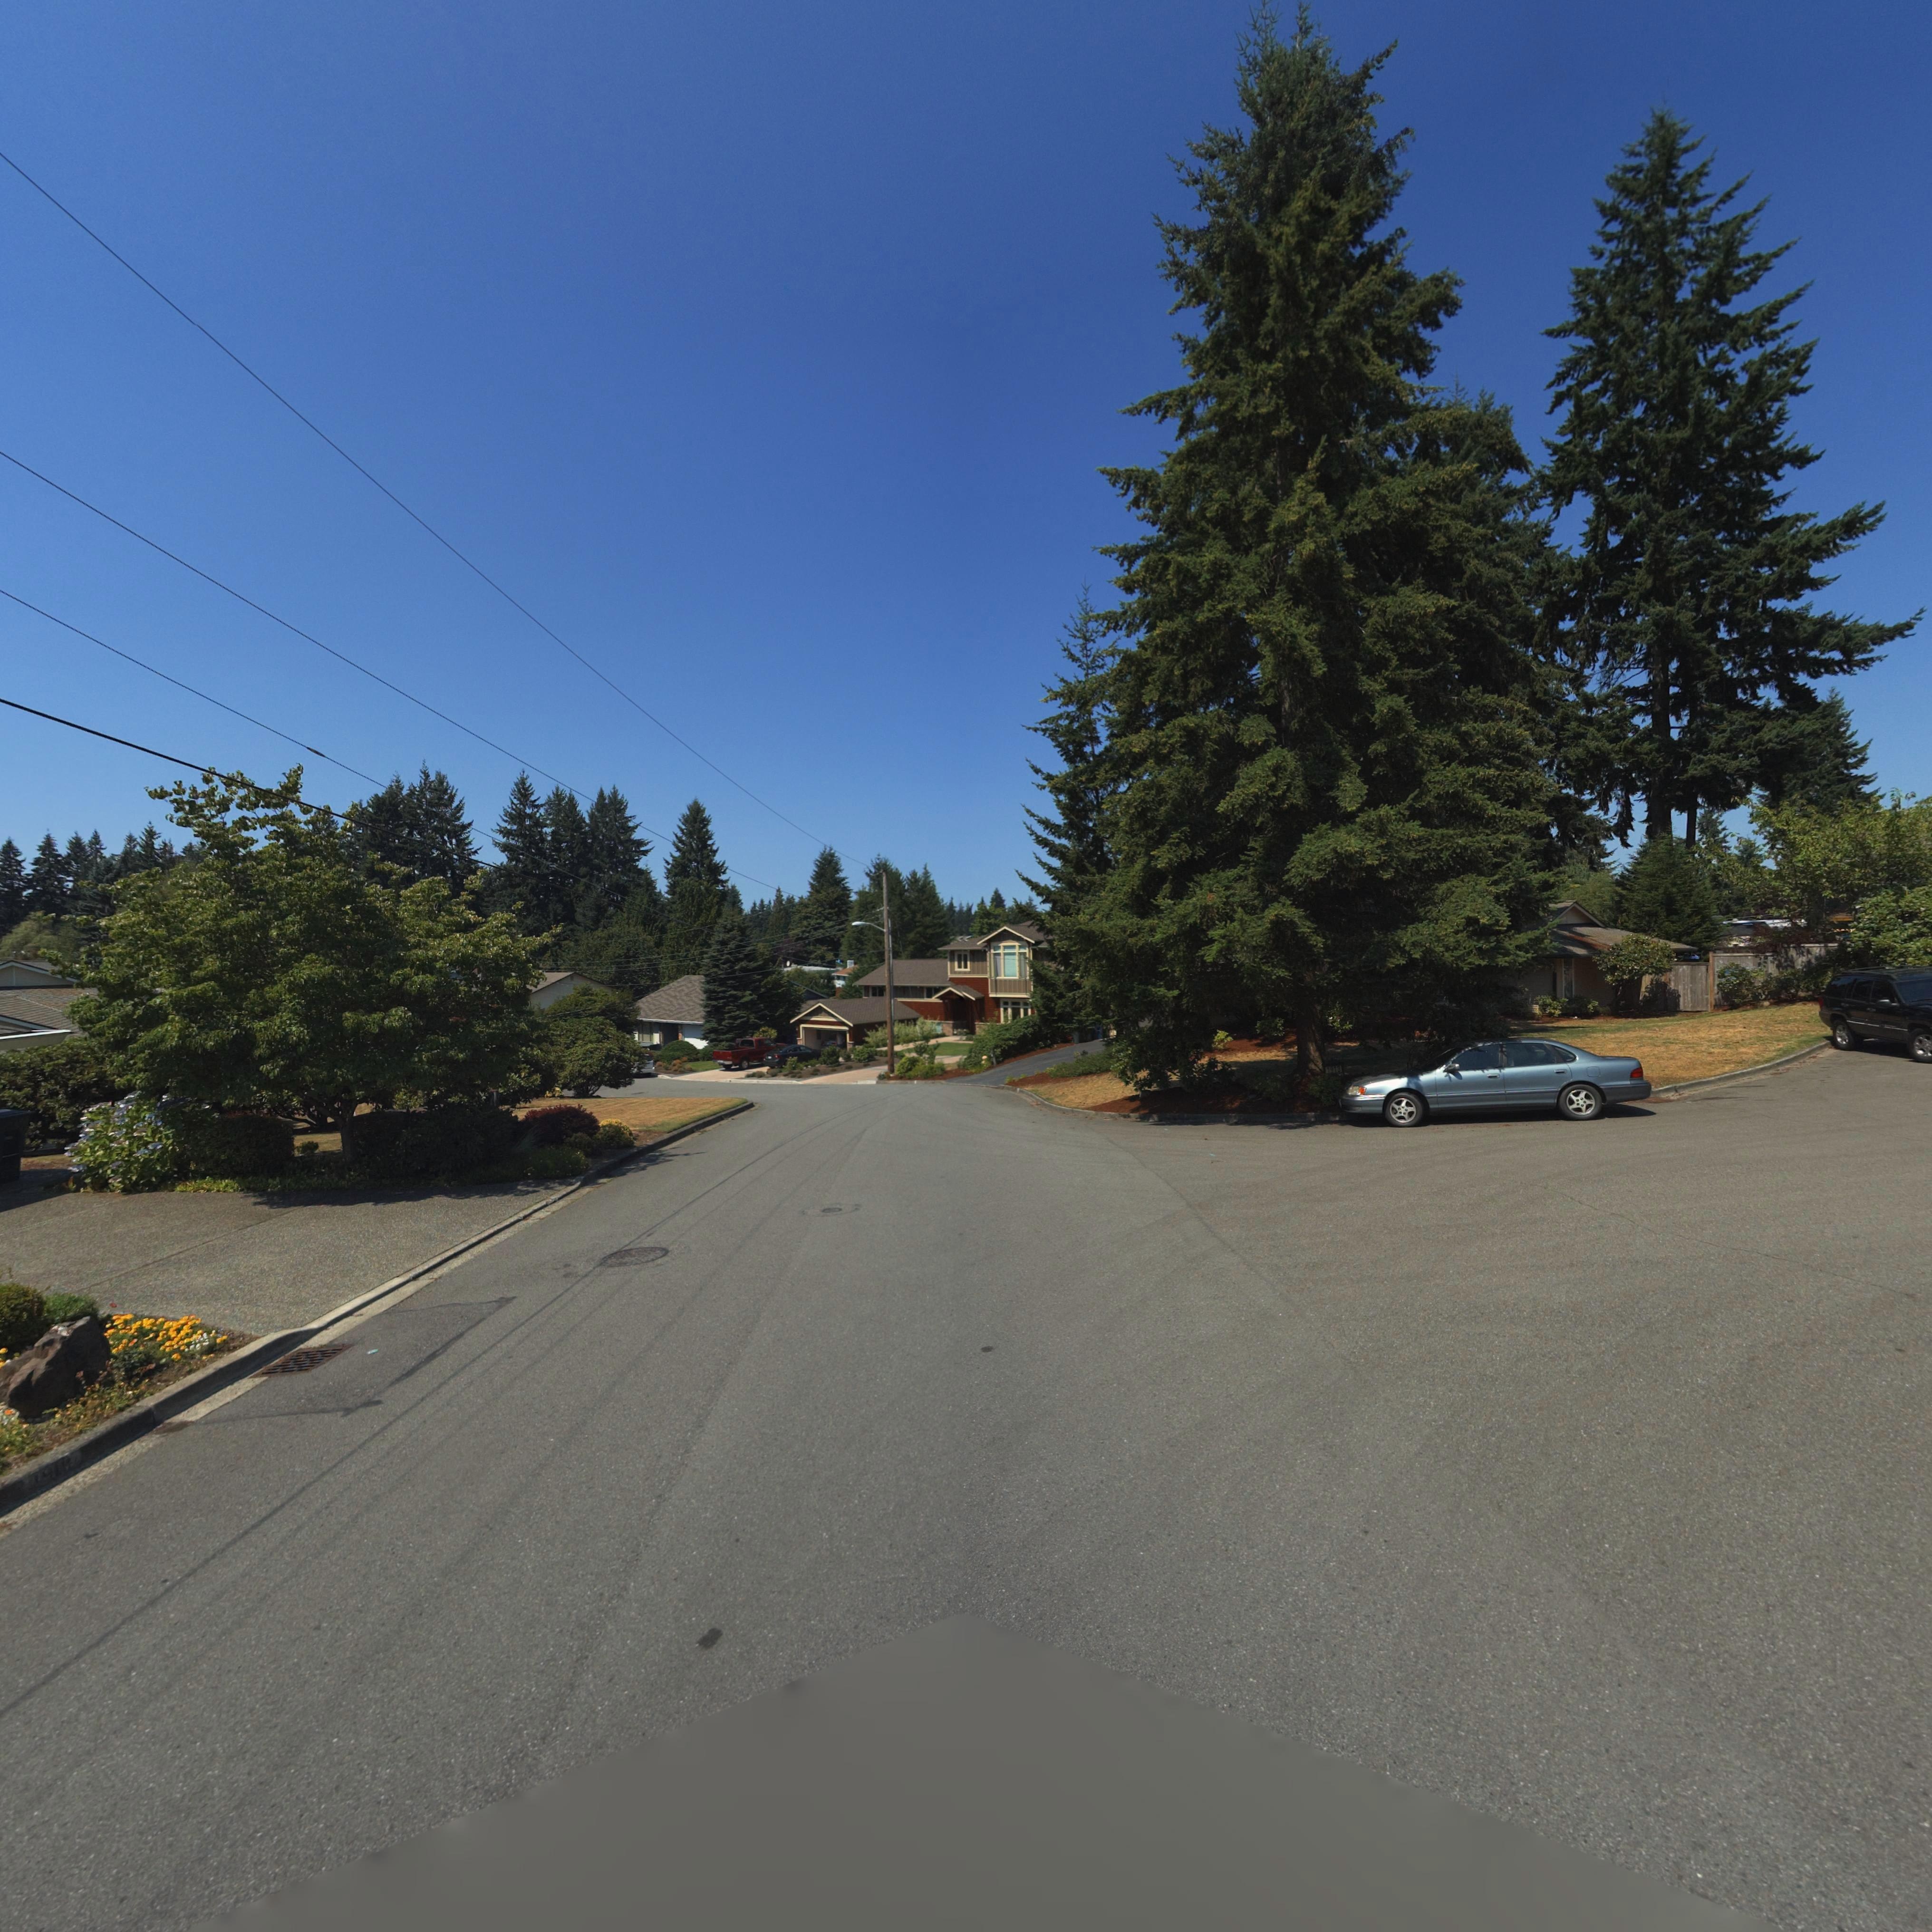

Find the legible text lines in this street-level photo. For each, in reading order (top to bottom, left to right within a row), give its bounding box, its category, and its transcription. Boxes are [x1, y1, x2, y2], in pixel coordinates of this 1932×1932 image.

[1326, 1065, 1341, 1073] StreetNumber: 1913